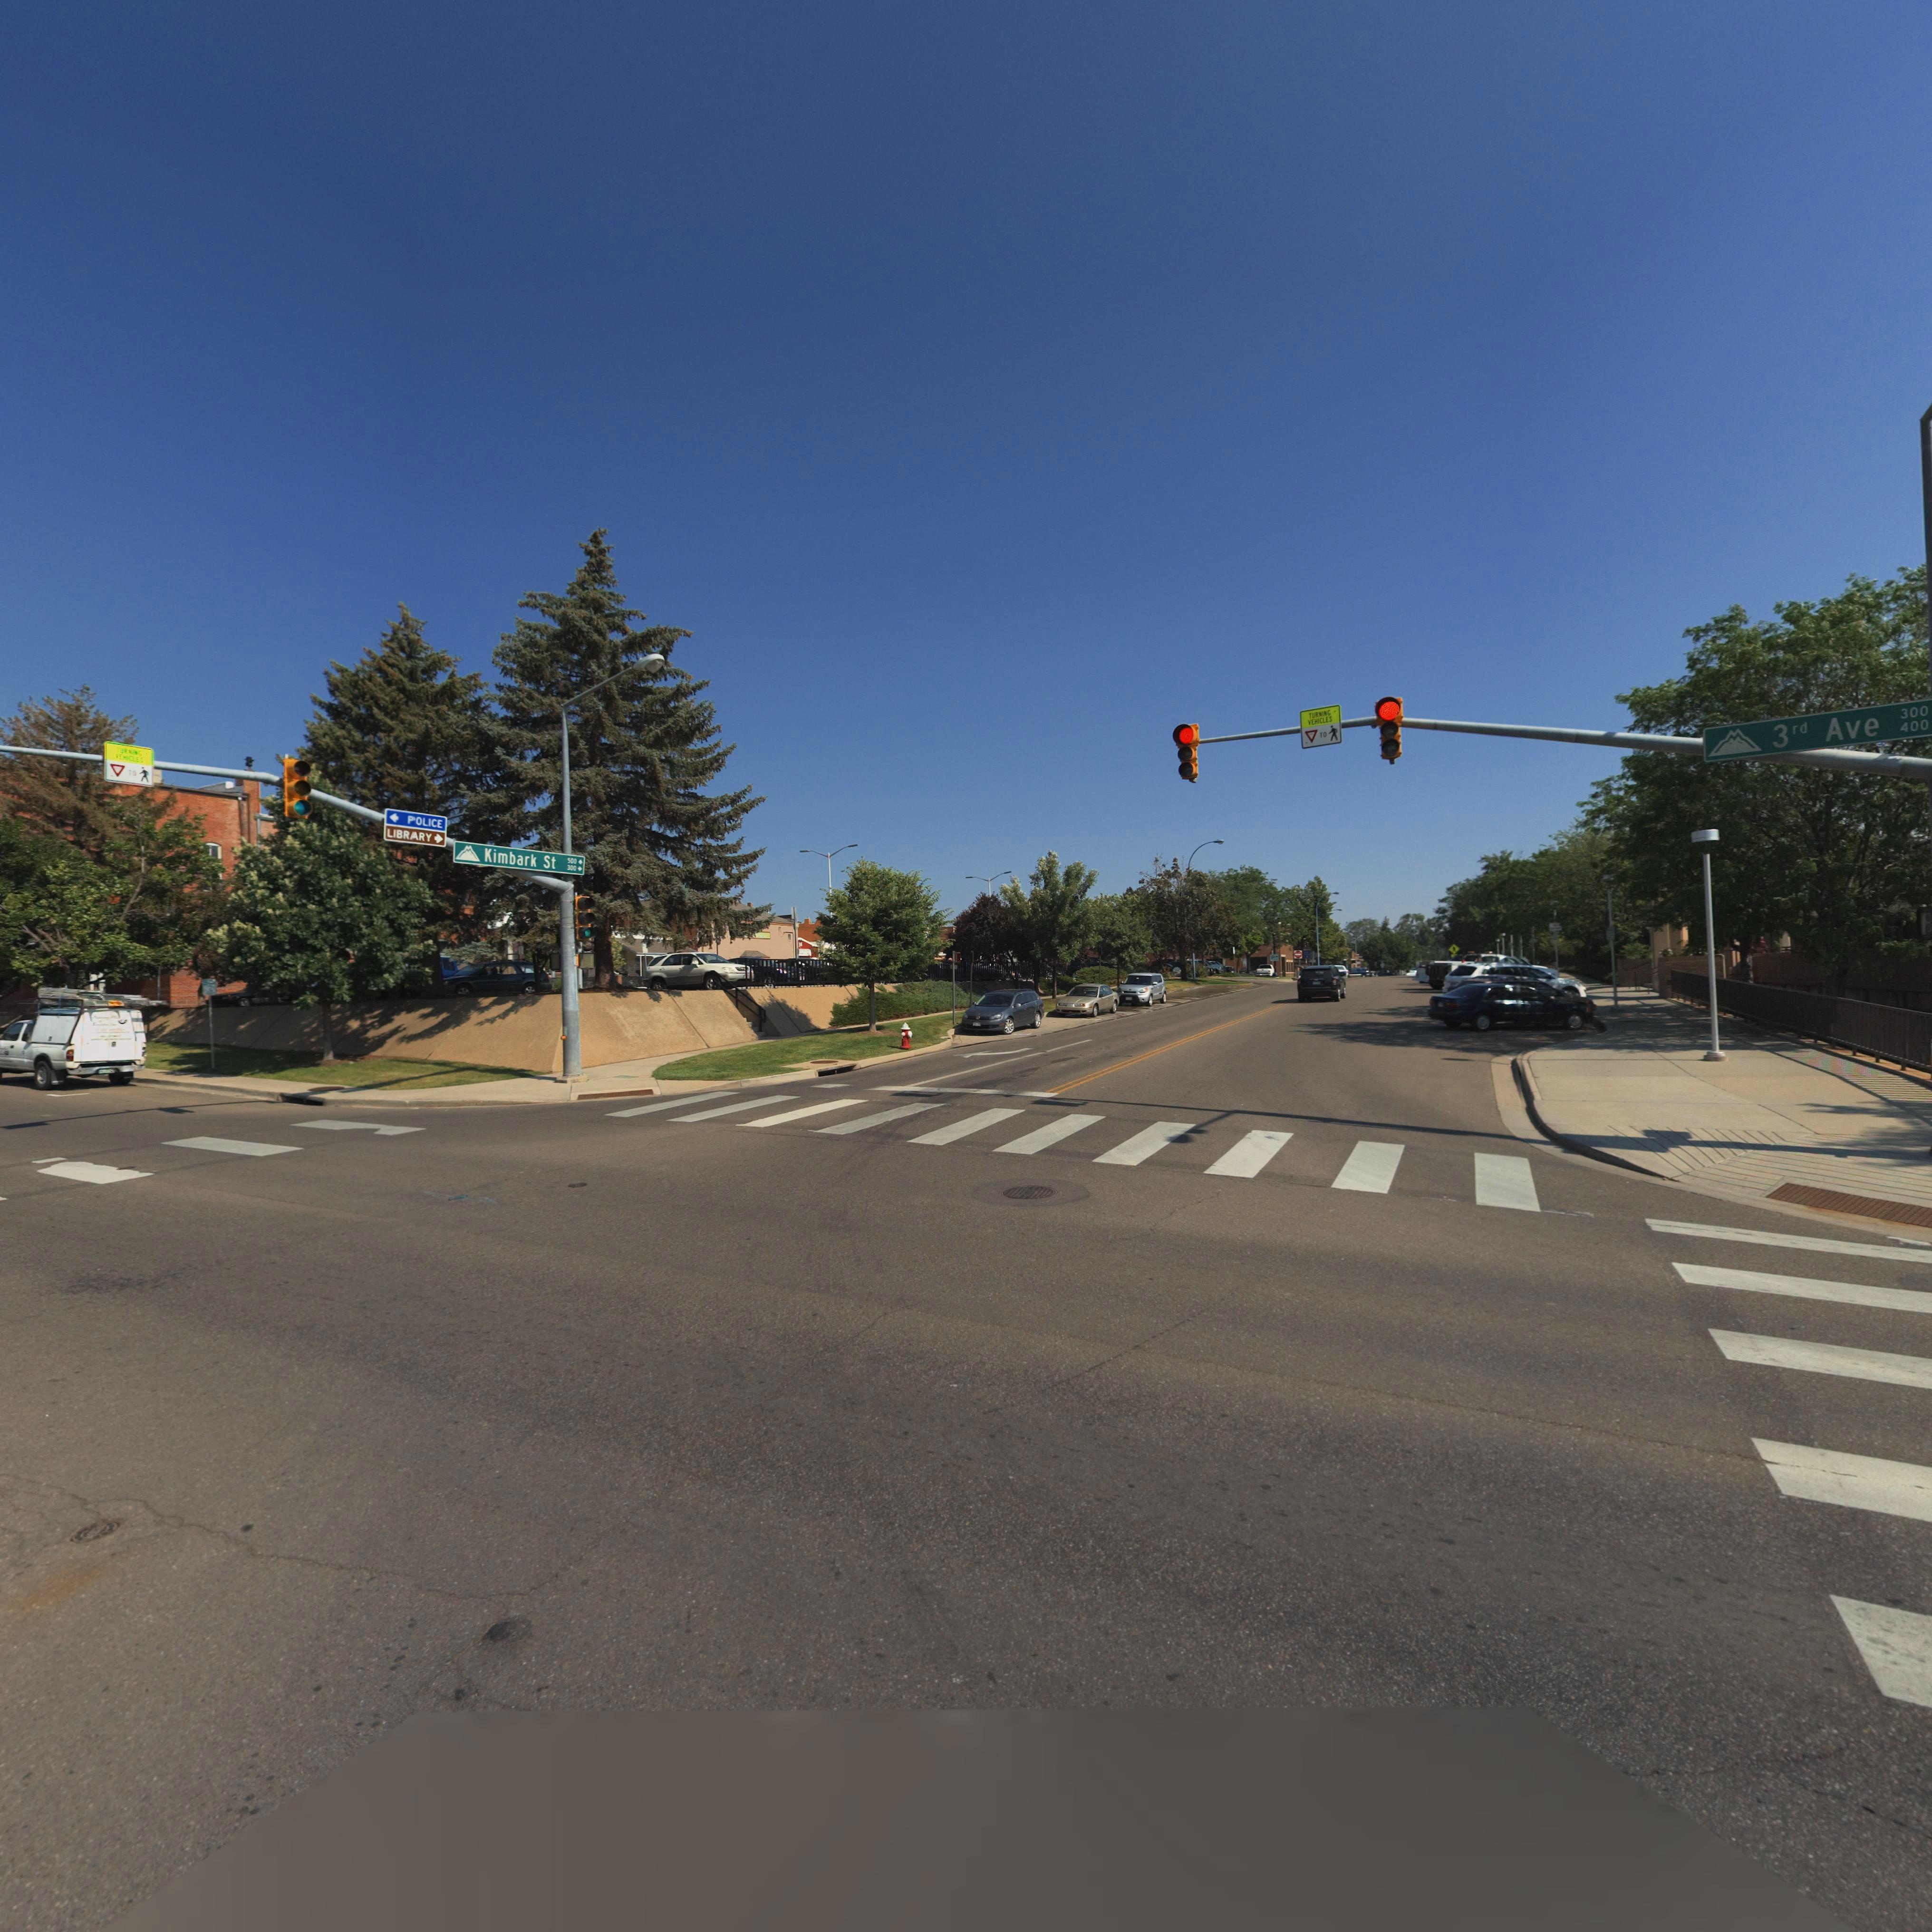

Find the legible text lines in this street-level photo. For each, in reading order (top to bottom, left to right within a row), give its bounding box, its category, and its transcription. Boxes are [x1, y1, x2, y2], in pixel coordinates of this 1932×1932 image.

[1900, 705, 1928, 720] StreetNumberRange: 300
[1771, 716, 1880, 749] StreetName: 3rd Ave
[1899, 718, 1929, 733] StreetNumberRange: 400
[484, 848, 556, 869] StreetName: Kimbark St
[567, 857, 577, 864] StreetNumberRange: 500
[567, 865, 582, 871] StreetNumberRange: 300 ->